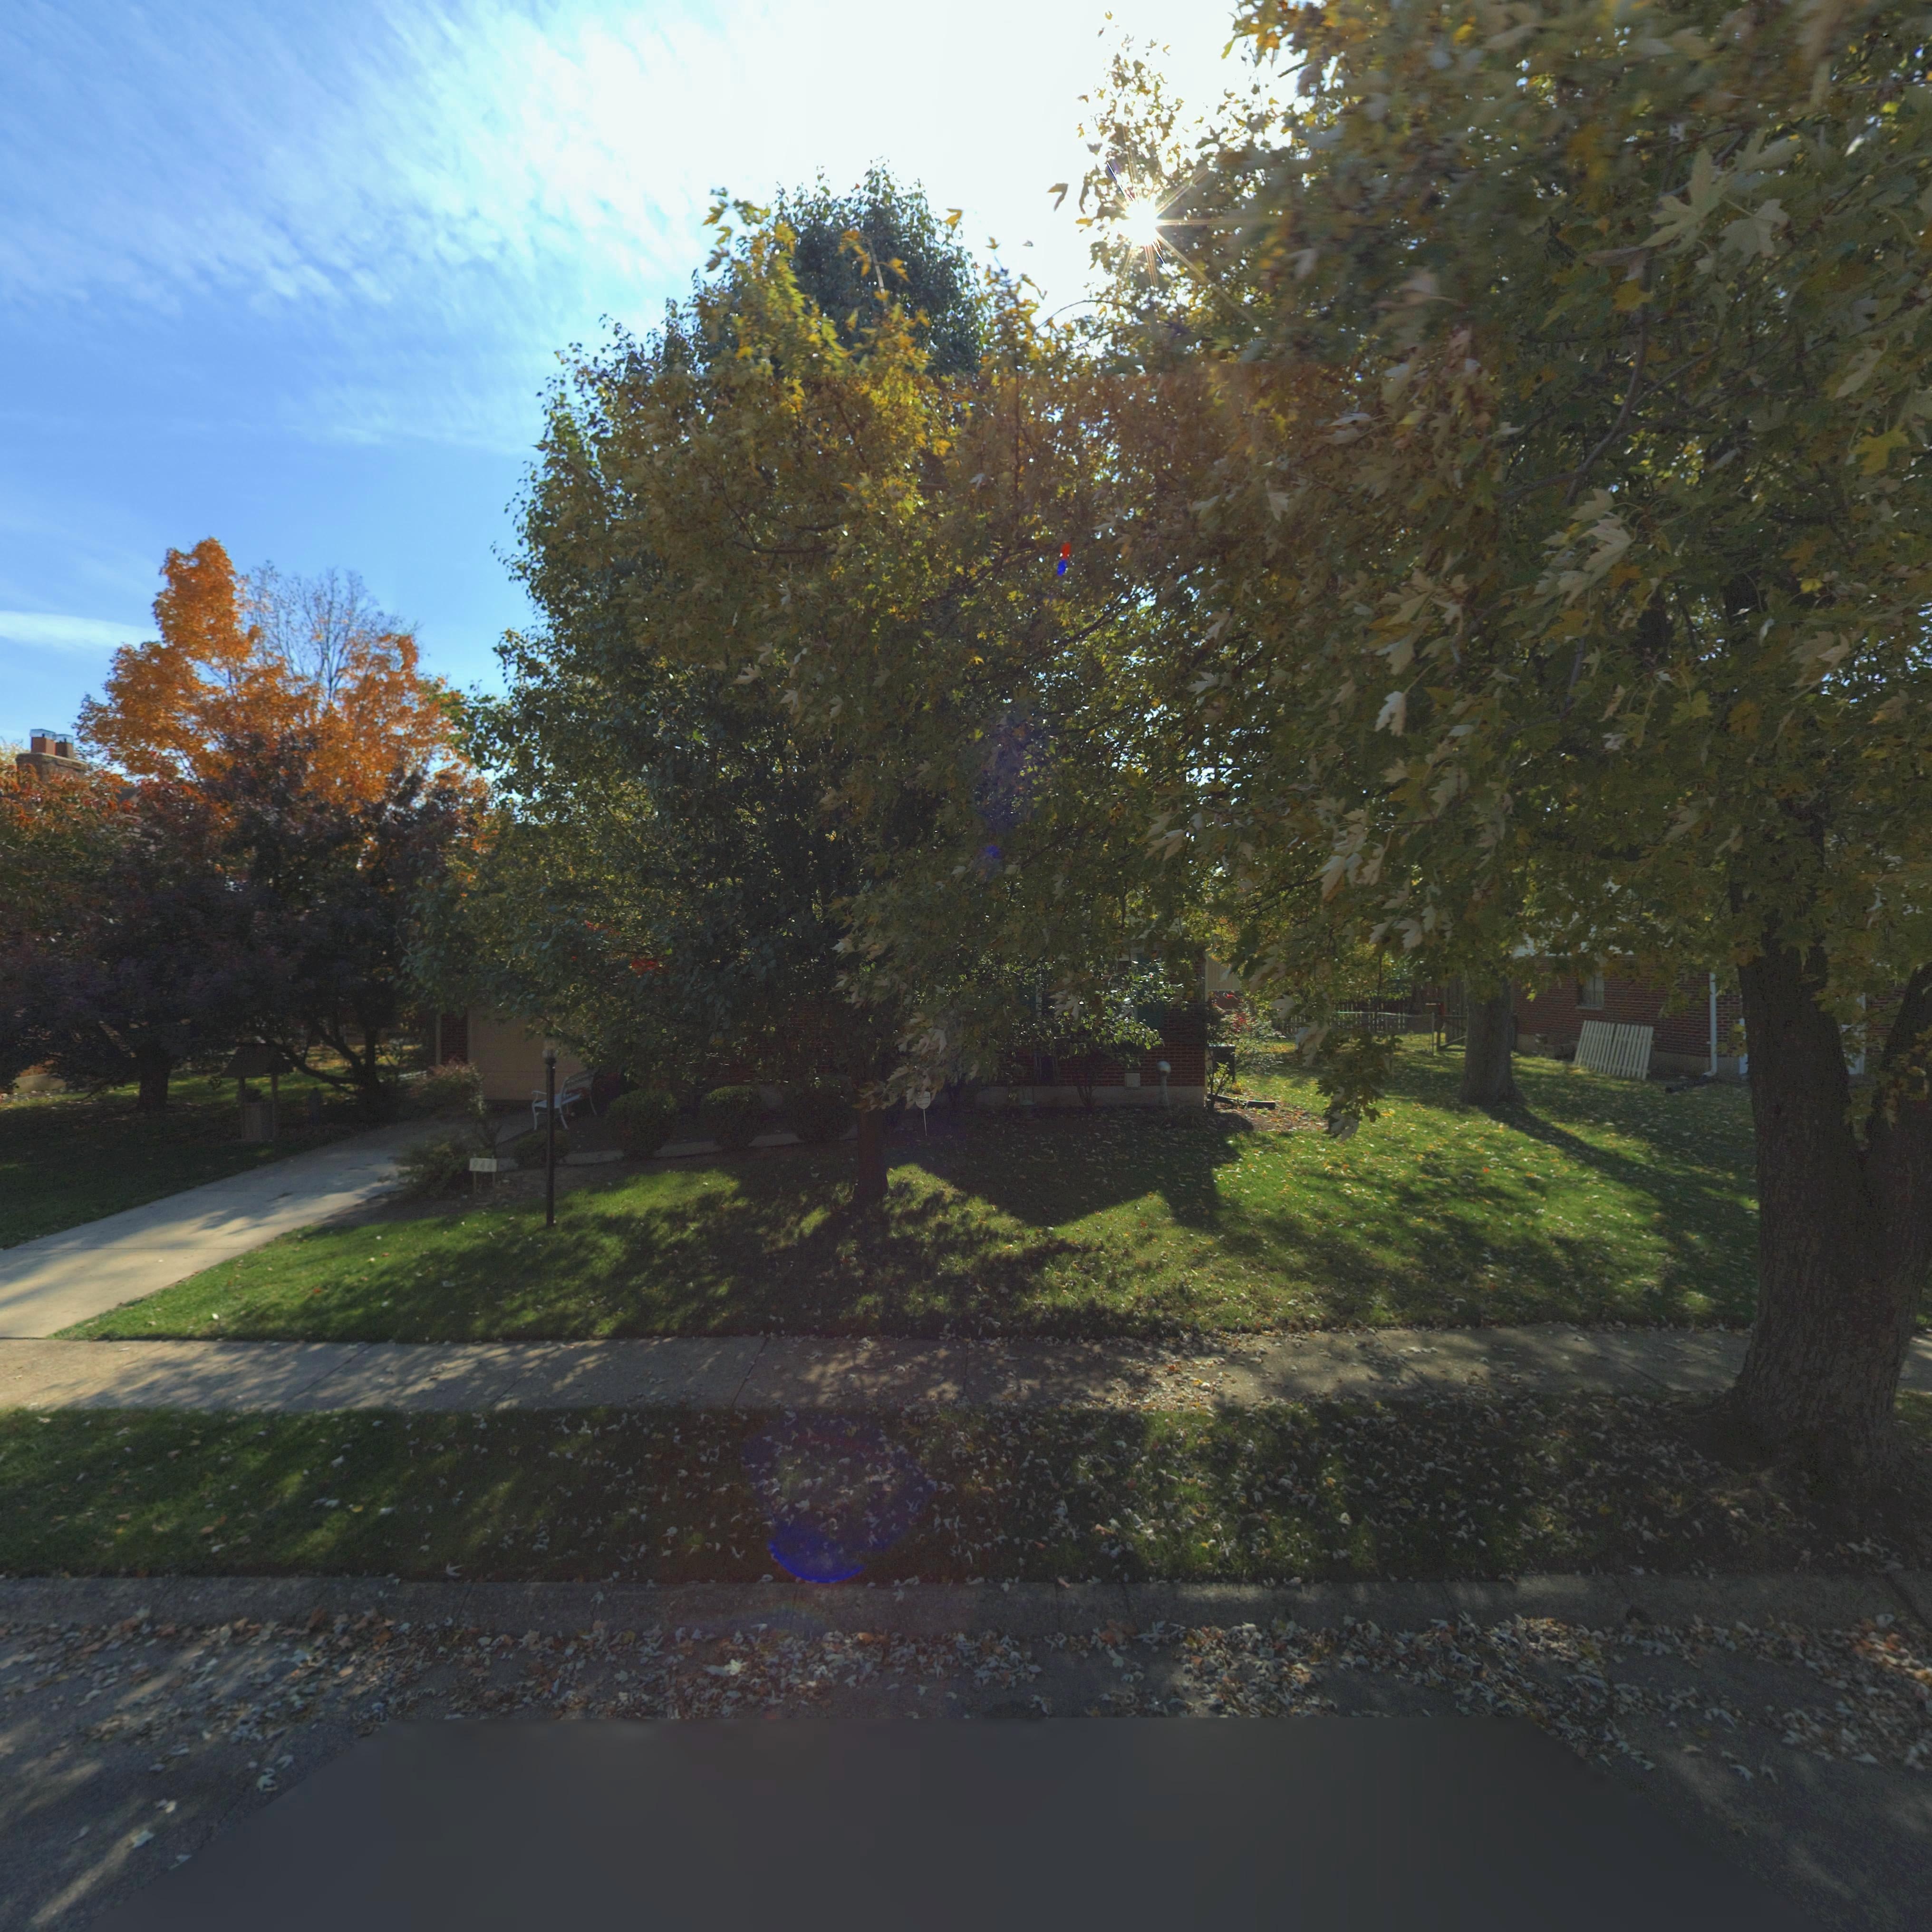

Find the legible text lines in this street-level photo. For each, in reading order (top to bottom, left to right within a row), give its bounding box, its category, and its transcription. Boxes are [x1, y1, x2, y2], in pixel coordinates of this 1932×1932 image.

[469, 1157, 497, 1173] StreetNumber: 944